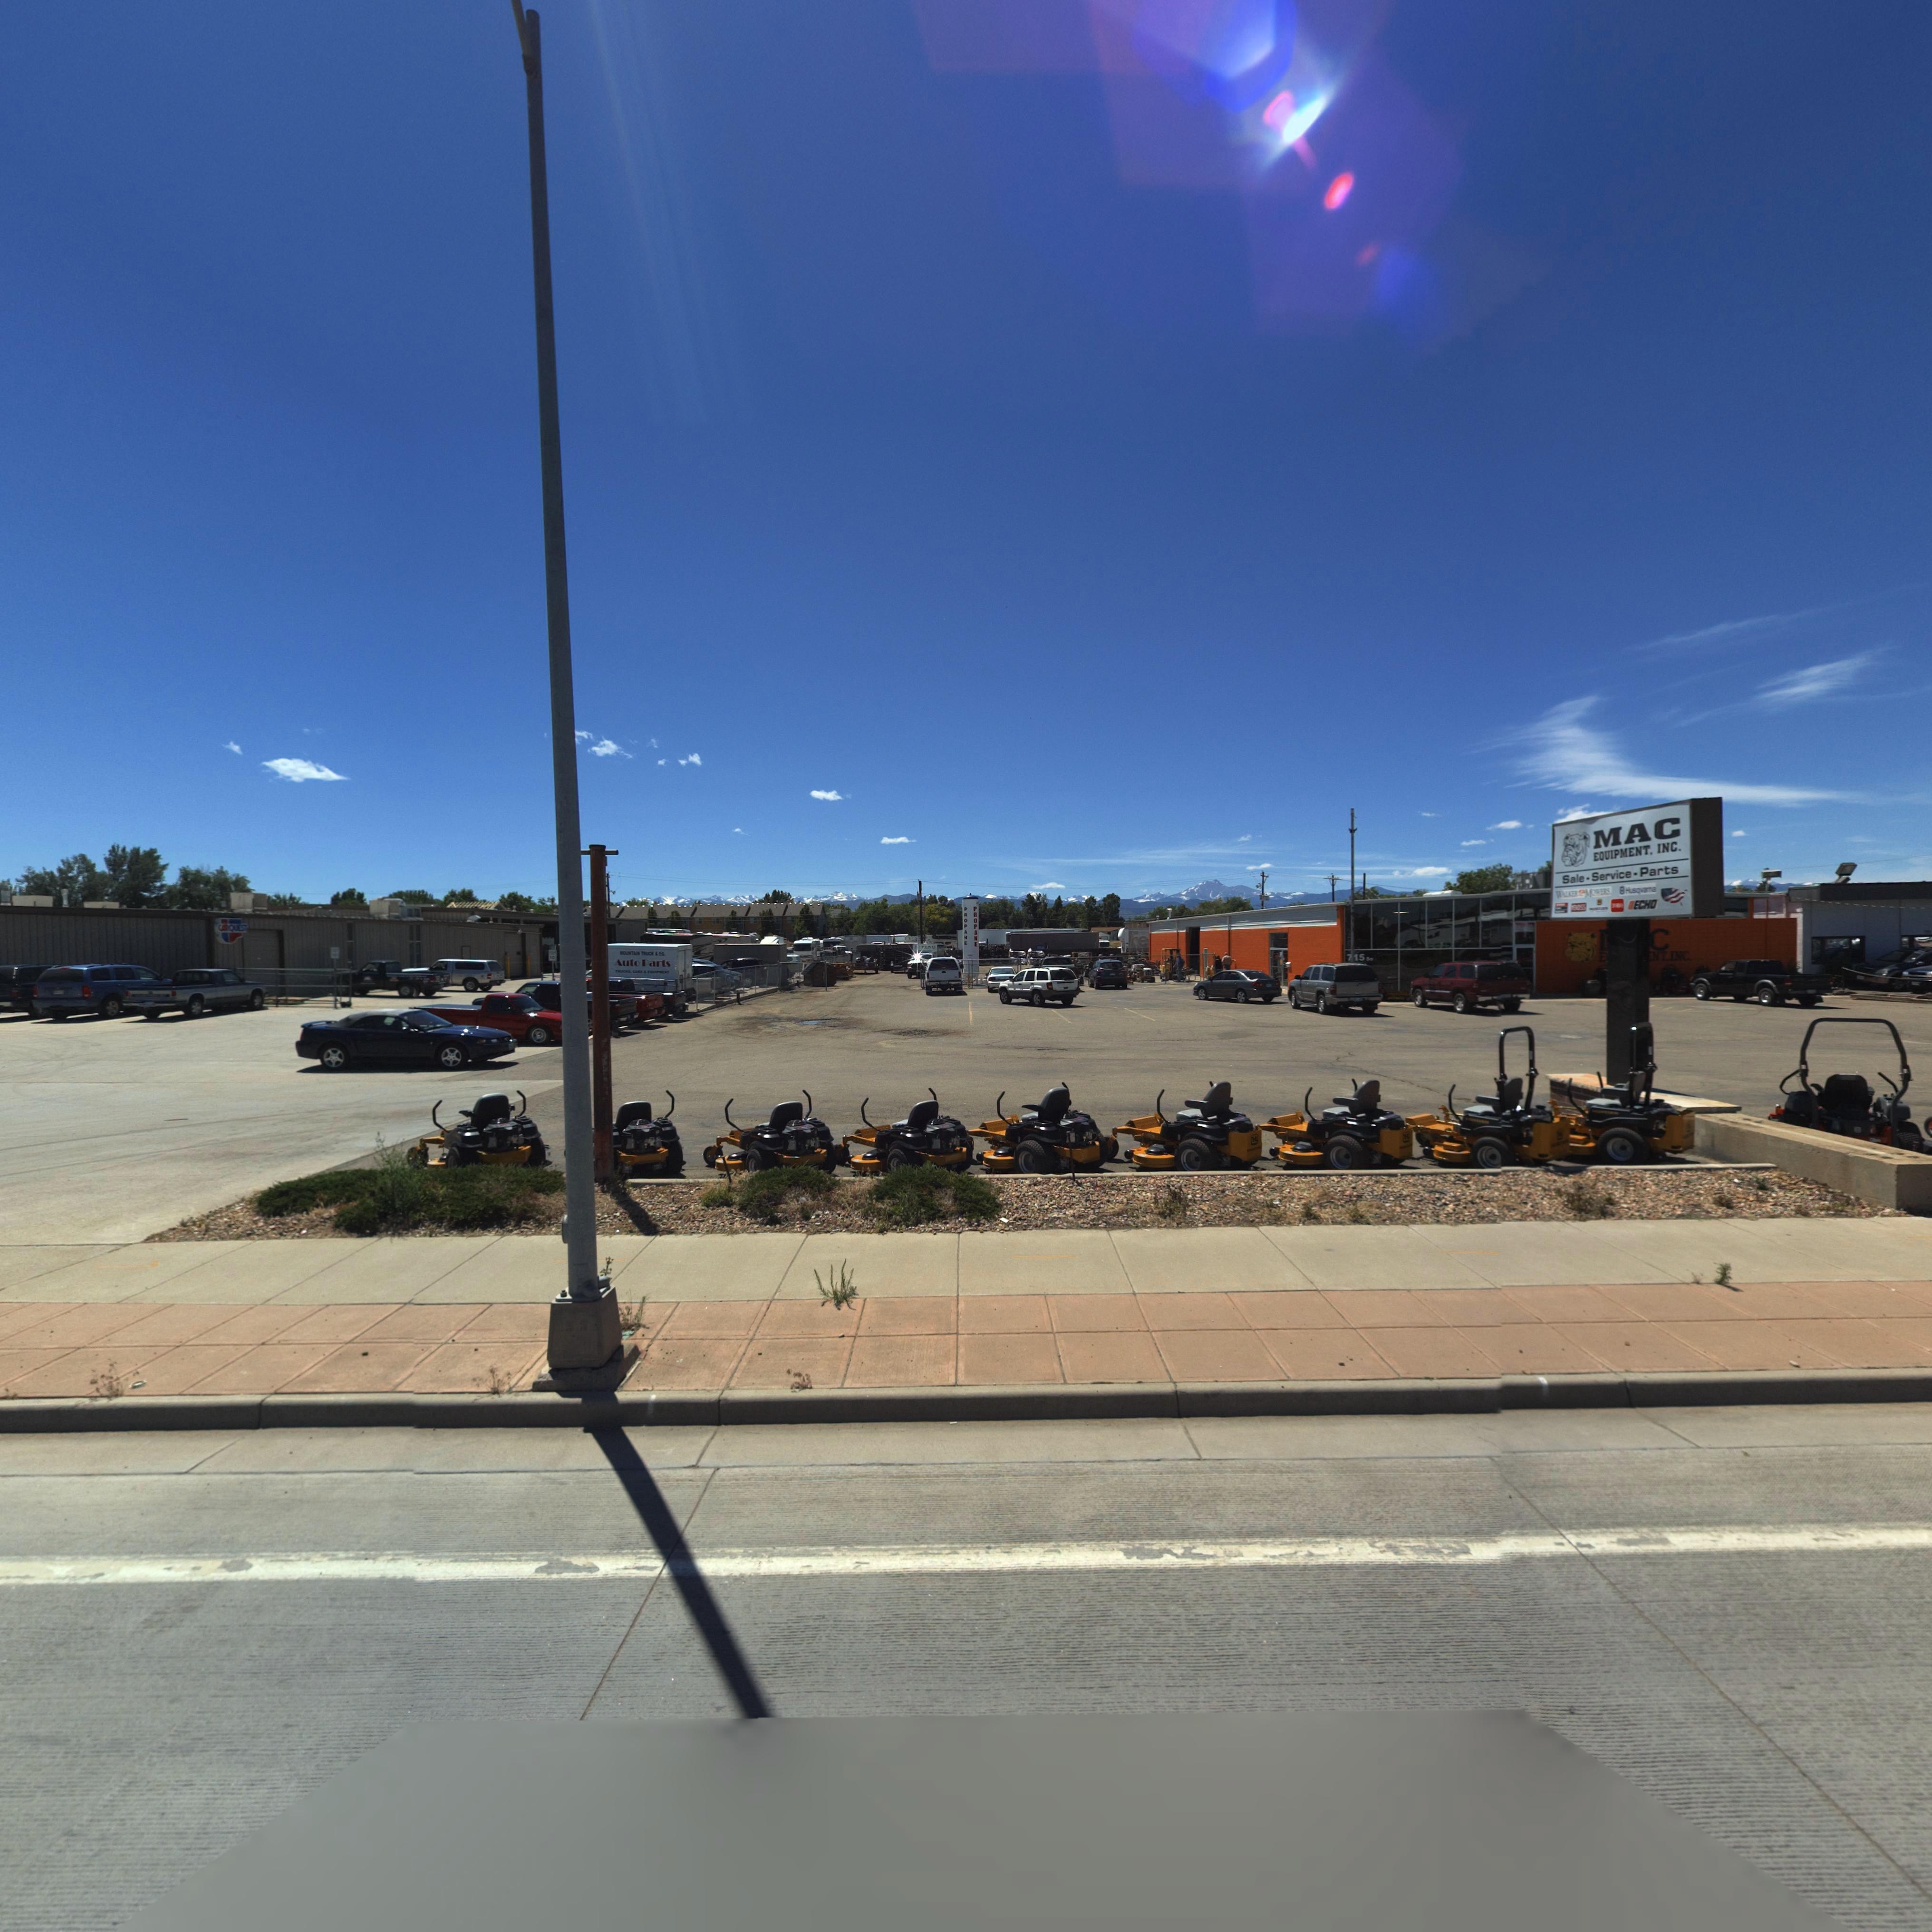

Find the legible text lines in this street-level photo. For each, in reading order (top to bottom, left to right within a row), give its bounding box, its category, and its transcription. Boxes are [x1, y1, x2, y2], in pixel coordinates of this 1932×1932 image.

[1593, 816, 1681, 849] BusinessName: MAC
[1593, 840, 1682, 861] BusinessName: EQUIPMENT. INC.
[920, 946, 936, 949] BusinessName: M**
[1346, 953, 1365, 961] StreetNumber: 715
[1599, 927, 1671, 951] BusinessName: **C
[1598, 949, 1693, 963] BusinessName: E******NT. INC.